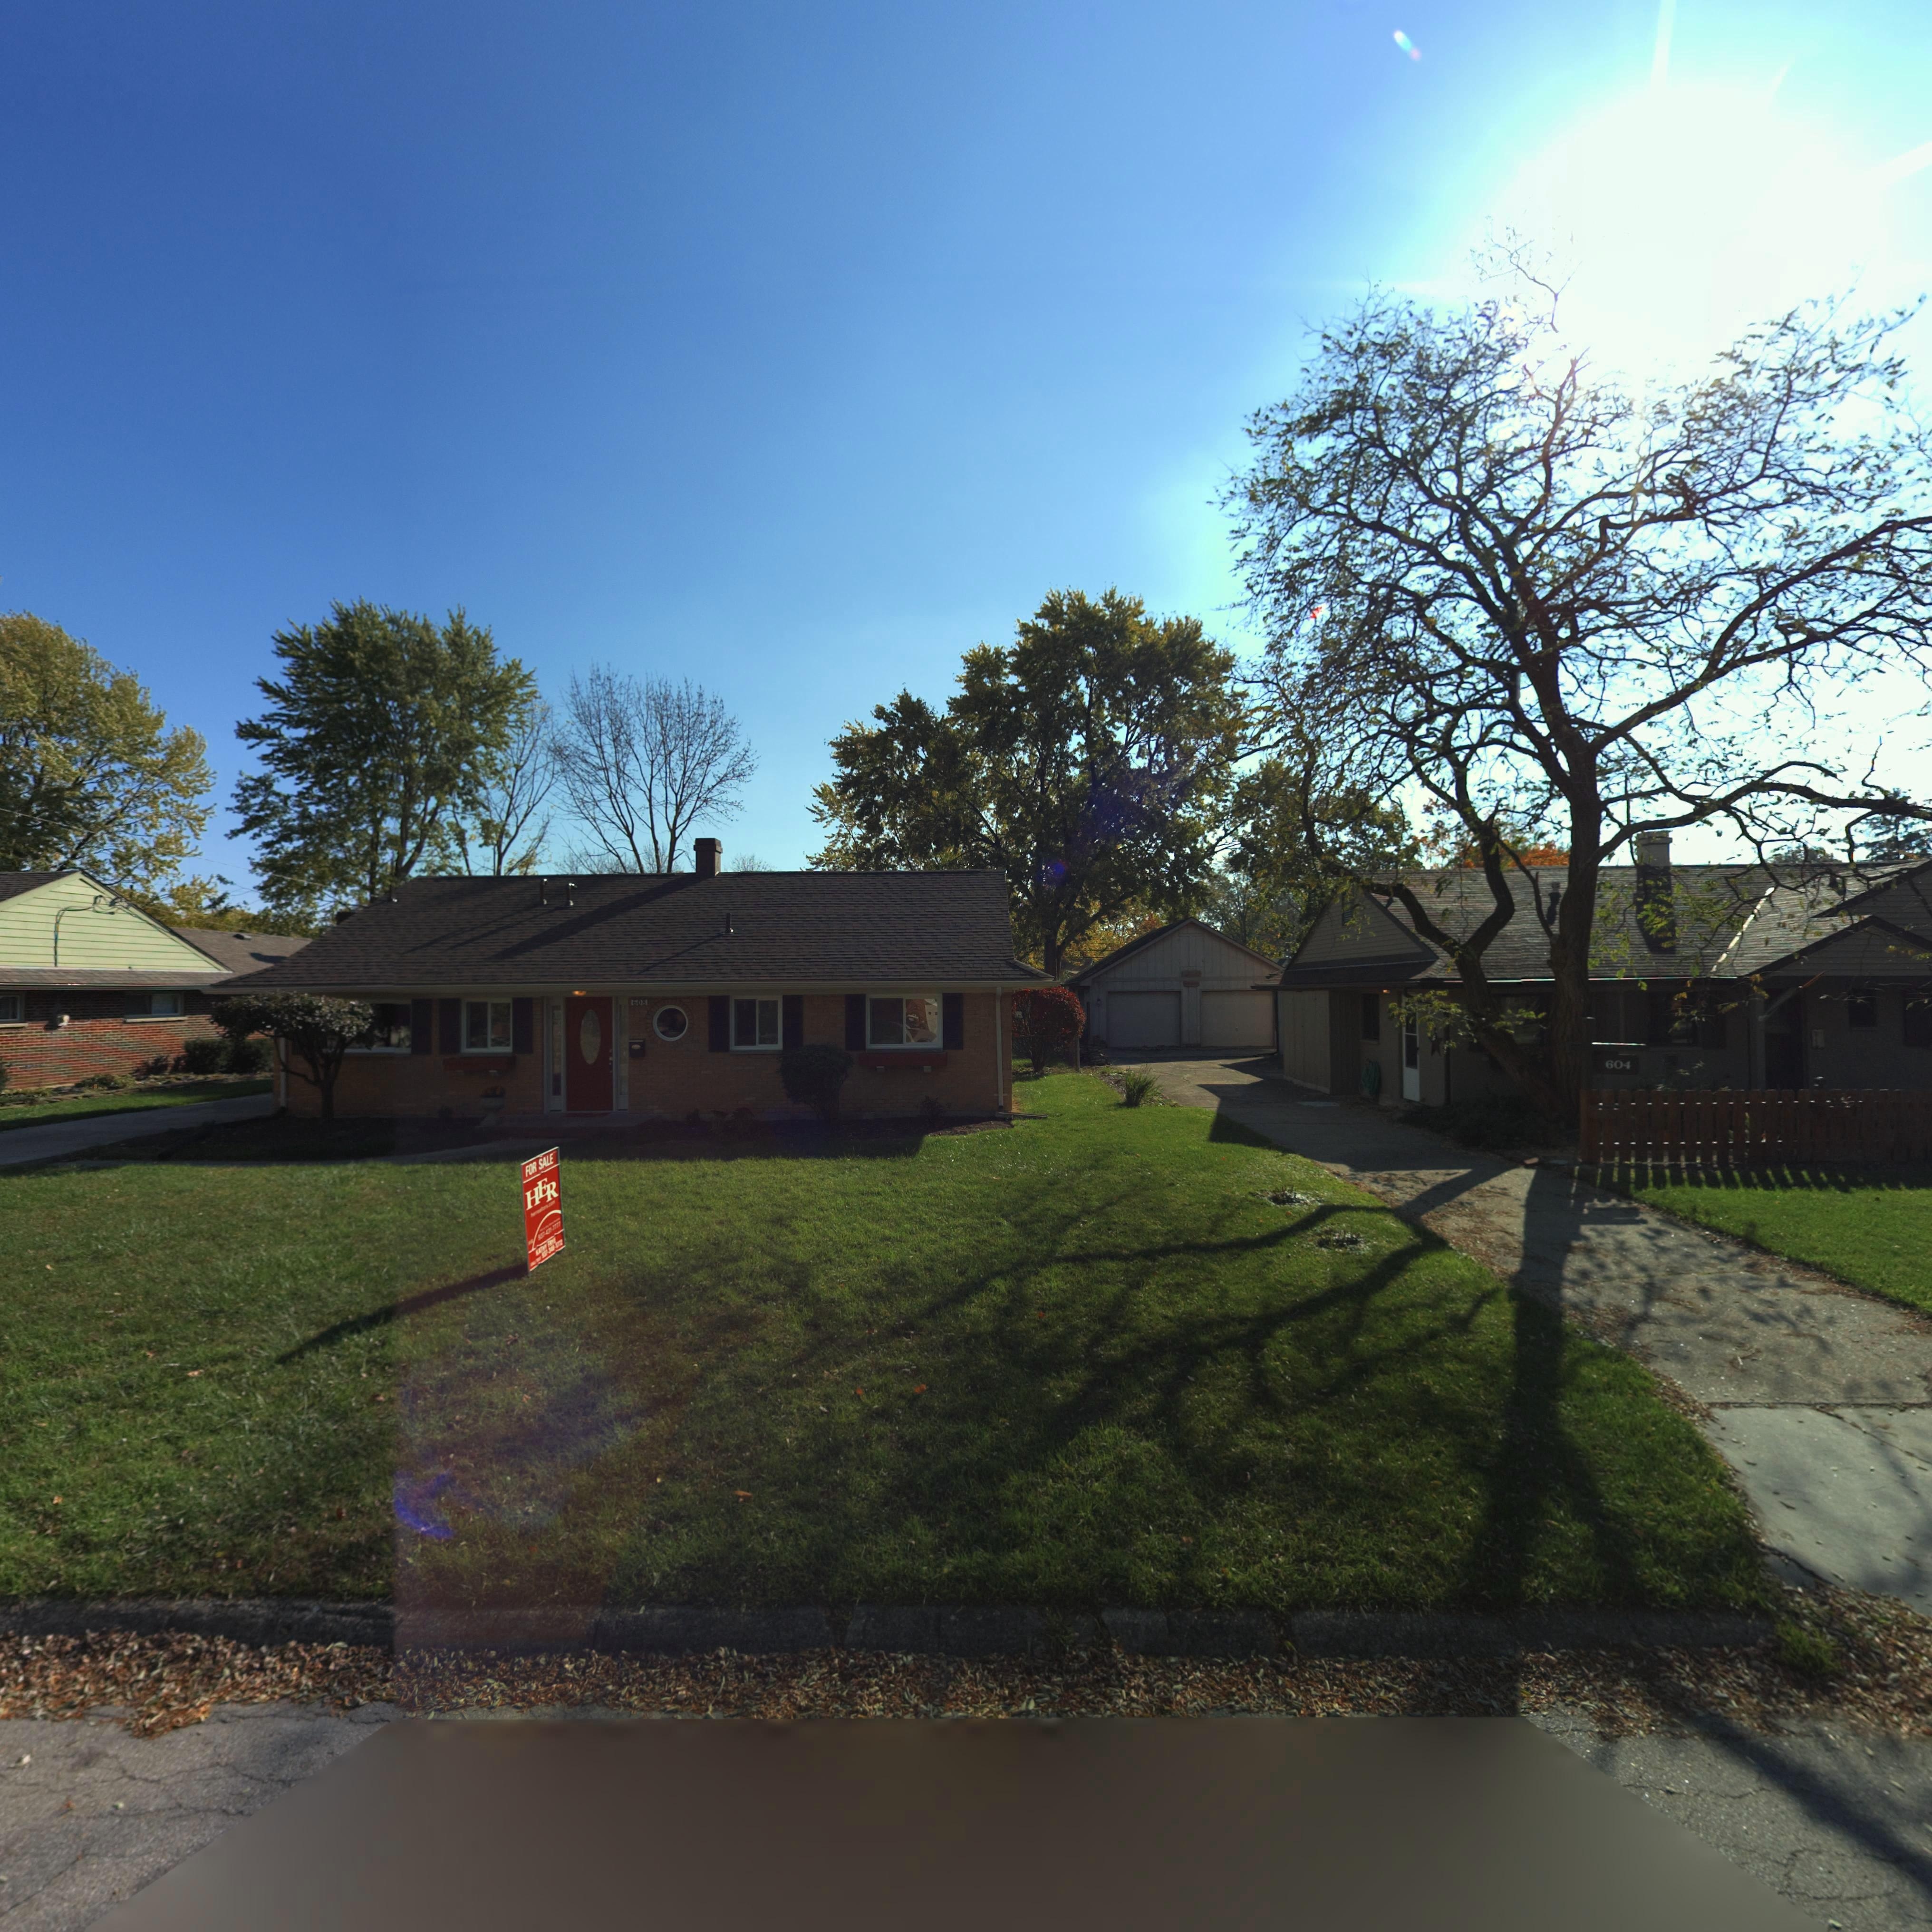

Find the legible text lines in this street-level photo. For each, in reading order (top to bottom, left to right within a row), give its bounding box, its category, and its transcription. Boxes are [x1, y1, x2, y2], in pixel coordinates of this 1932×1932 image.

[632, 999, 646, 1006] StreetNumber: 608
[1605, 1060, 1632, 1070] StreetNumber: 604
[524, 1152, 554, 1178] None: FOR SALE
[524, 1176, 559, 1211] None: HER
[537, 1220, 561, 1242] None: 937-43*-7777
[534, 1236, 556, 1257] None: KATHY FRYE
[540, 1237, 563, 1259] None: *3**-1772